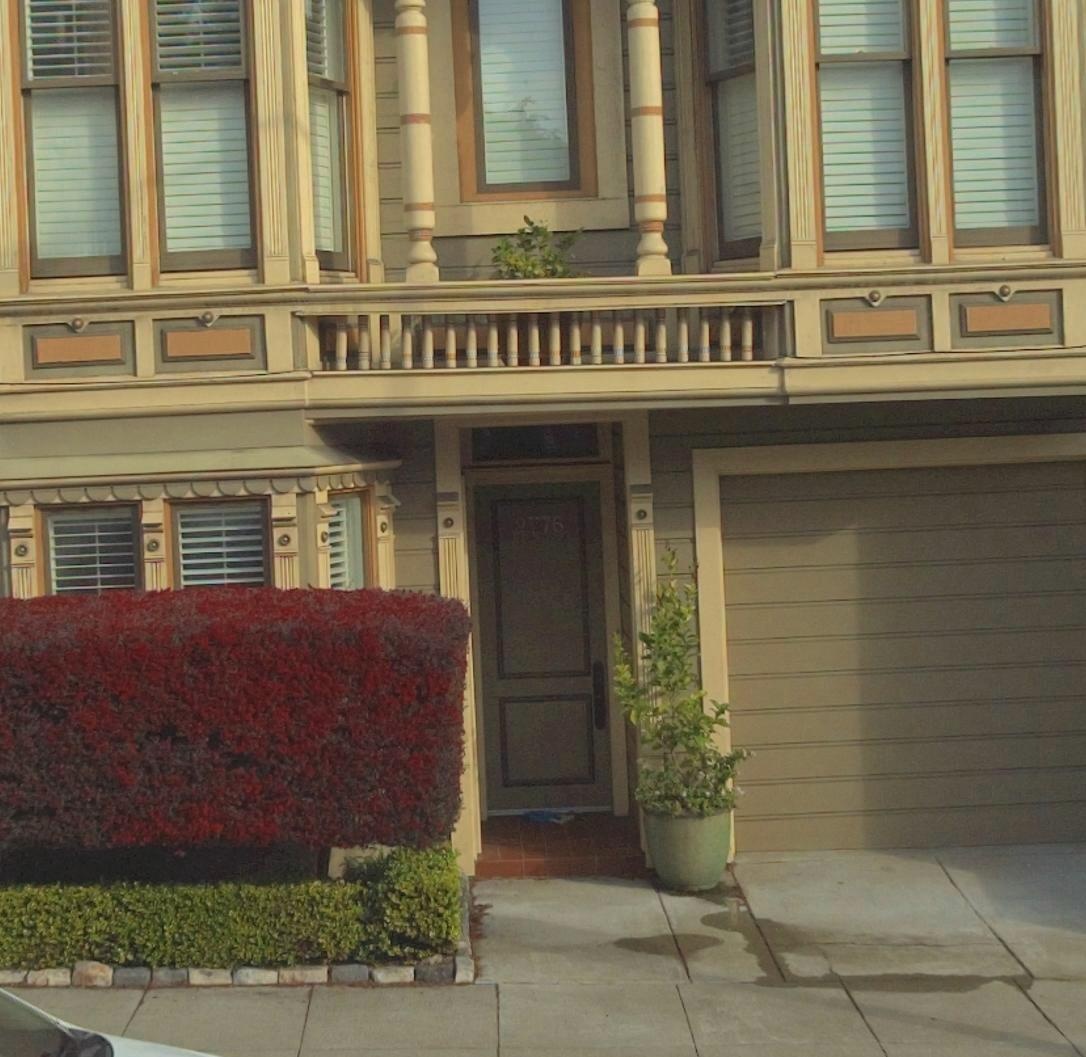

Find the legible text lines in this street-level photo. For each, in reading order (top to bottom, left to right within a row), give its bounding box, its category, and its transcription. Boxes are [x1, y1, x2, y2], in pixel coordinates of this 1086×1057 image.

[511, 511, 567, 538] StreetNumber: 2776